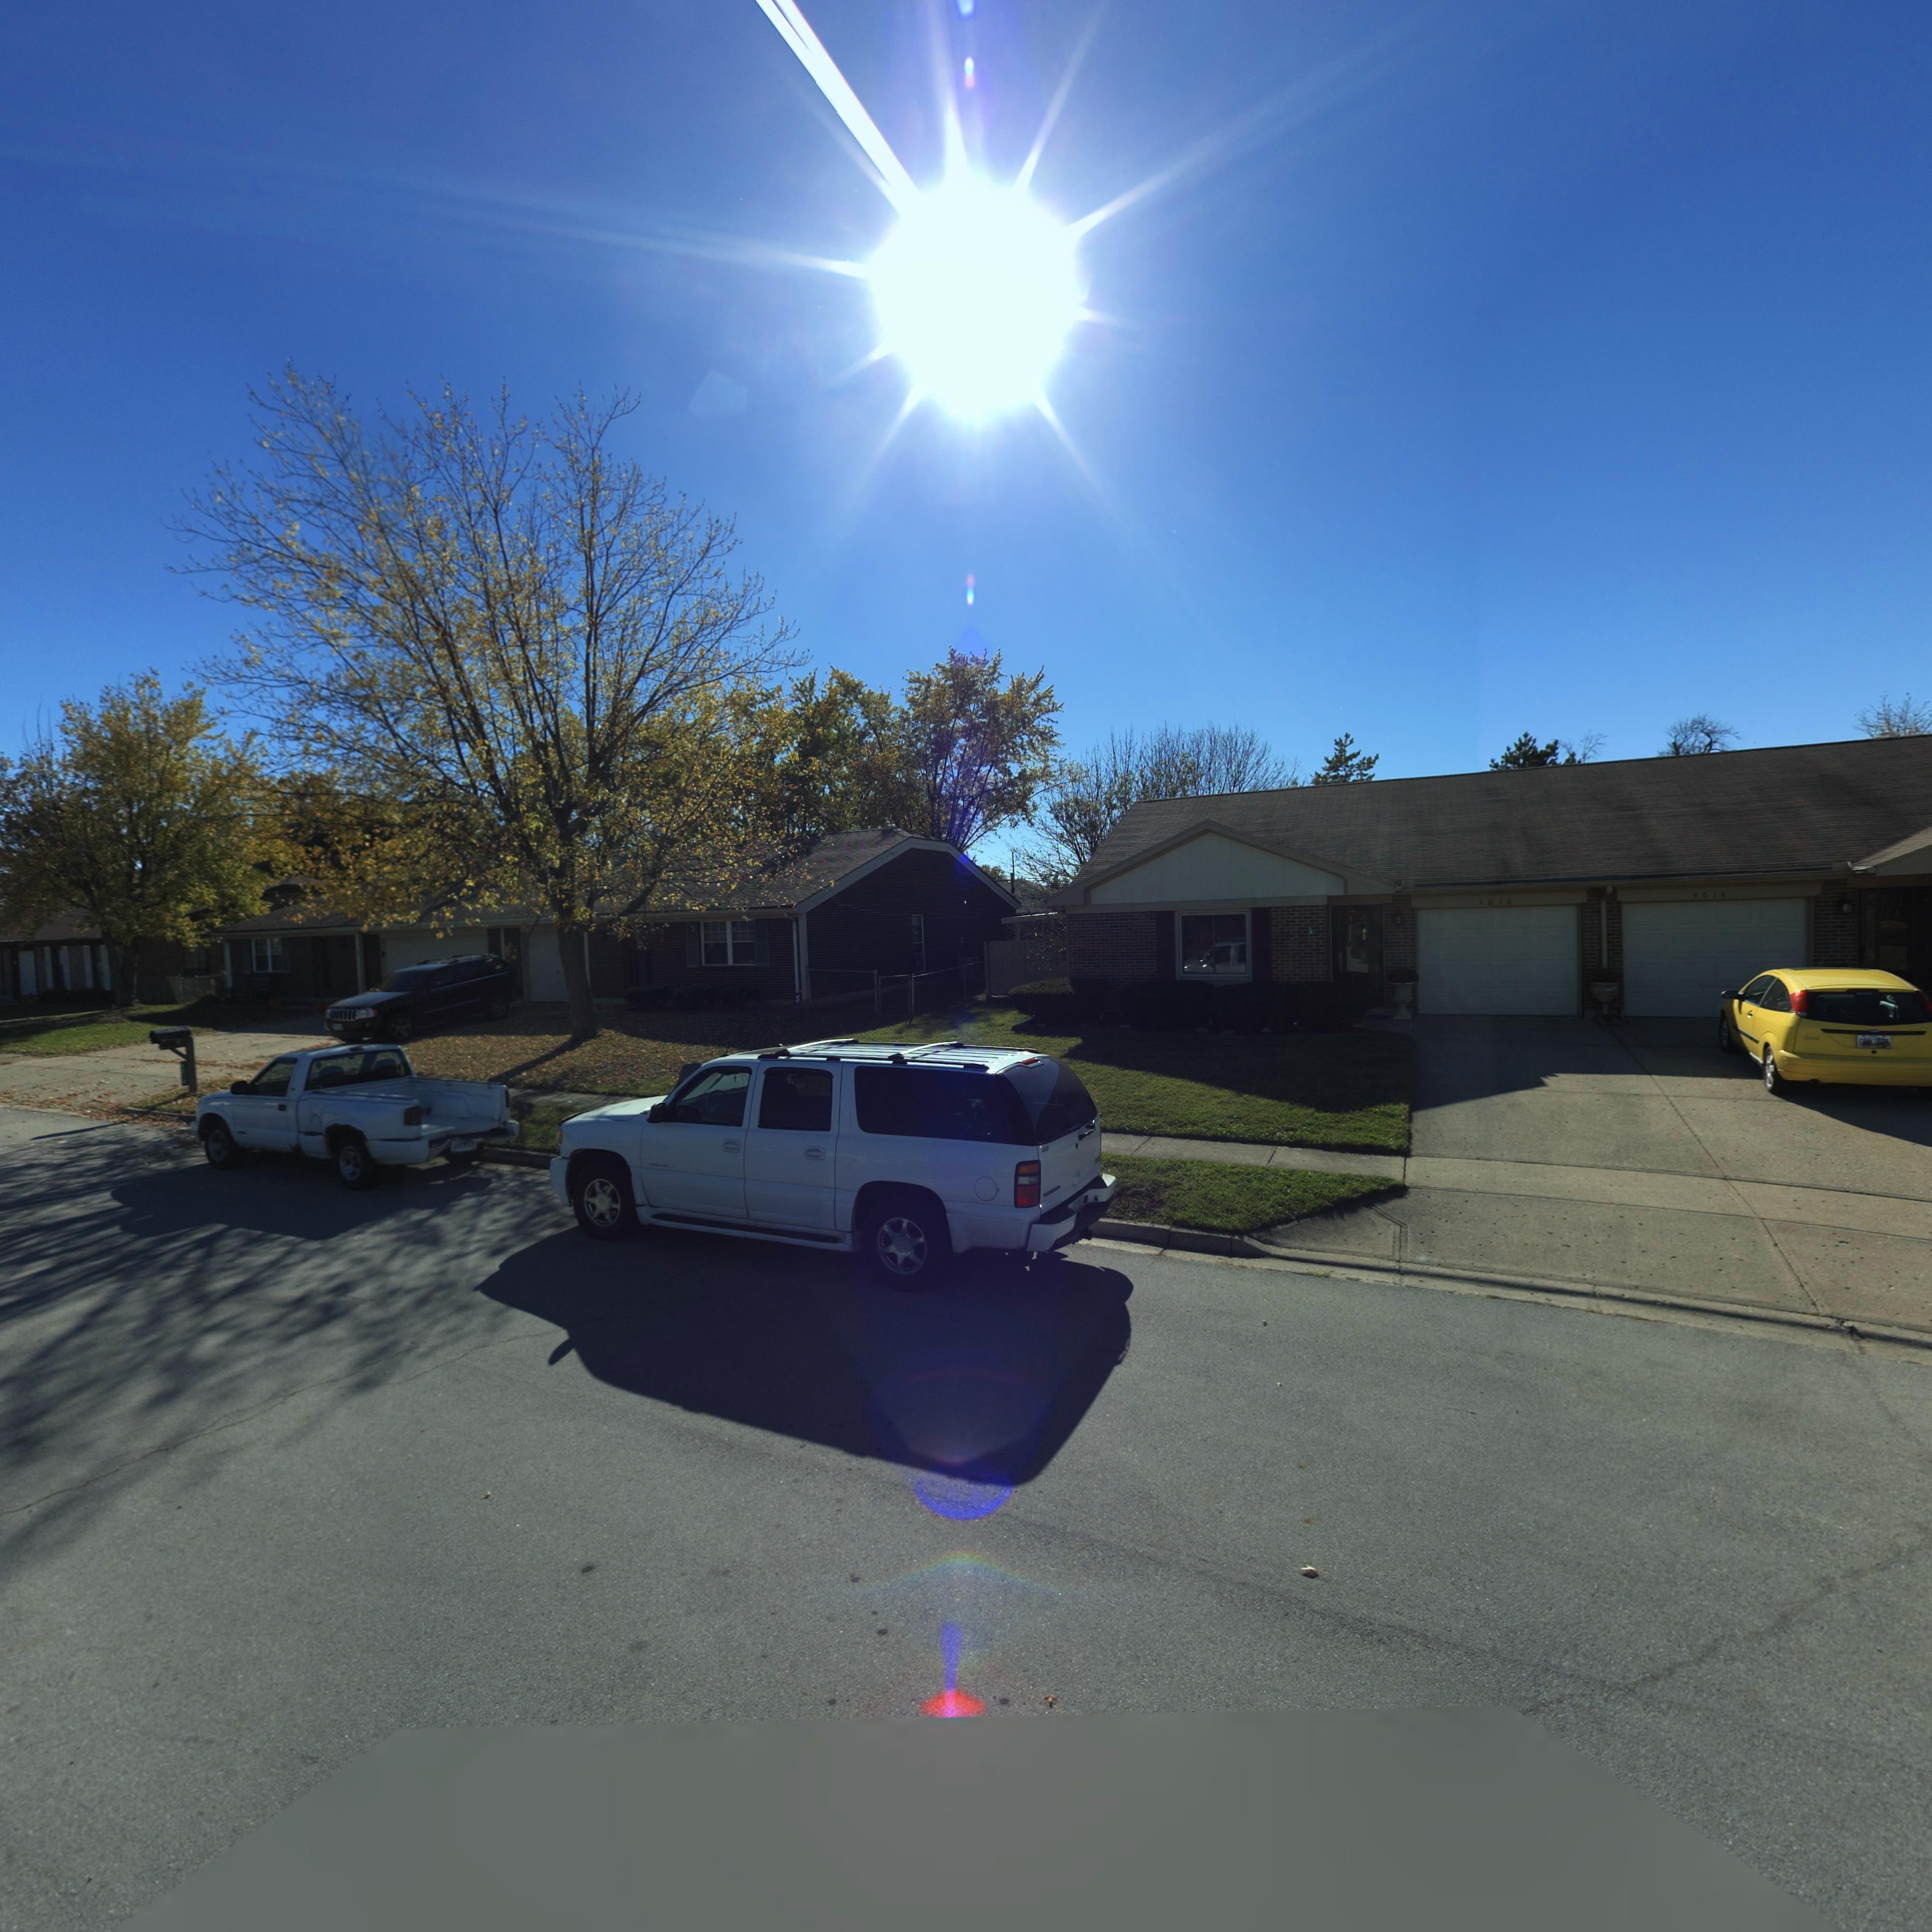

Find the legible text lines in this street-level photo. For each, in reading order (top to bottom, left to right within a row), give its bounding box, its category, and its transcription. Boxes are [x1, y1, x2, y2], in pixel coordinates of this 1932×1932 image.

[1692, 891, 1727, 899] StreetNumber: 4018
[1478, 898, 1512, 906] StreetNumber: 4*16
[181, 1063, 187, 1085] StreetNumber: 40*4